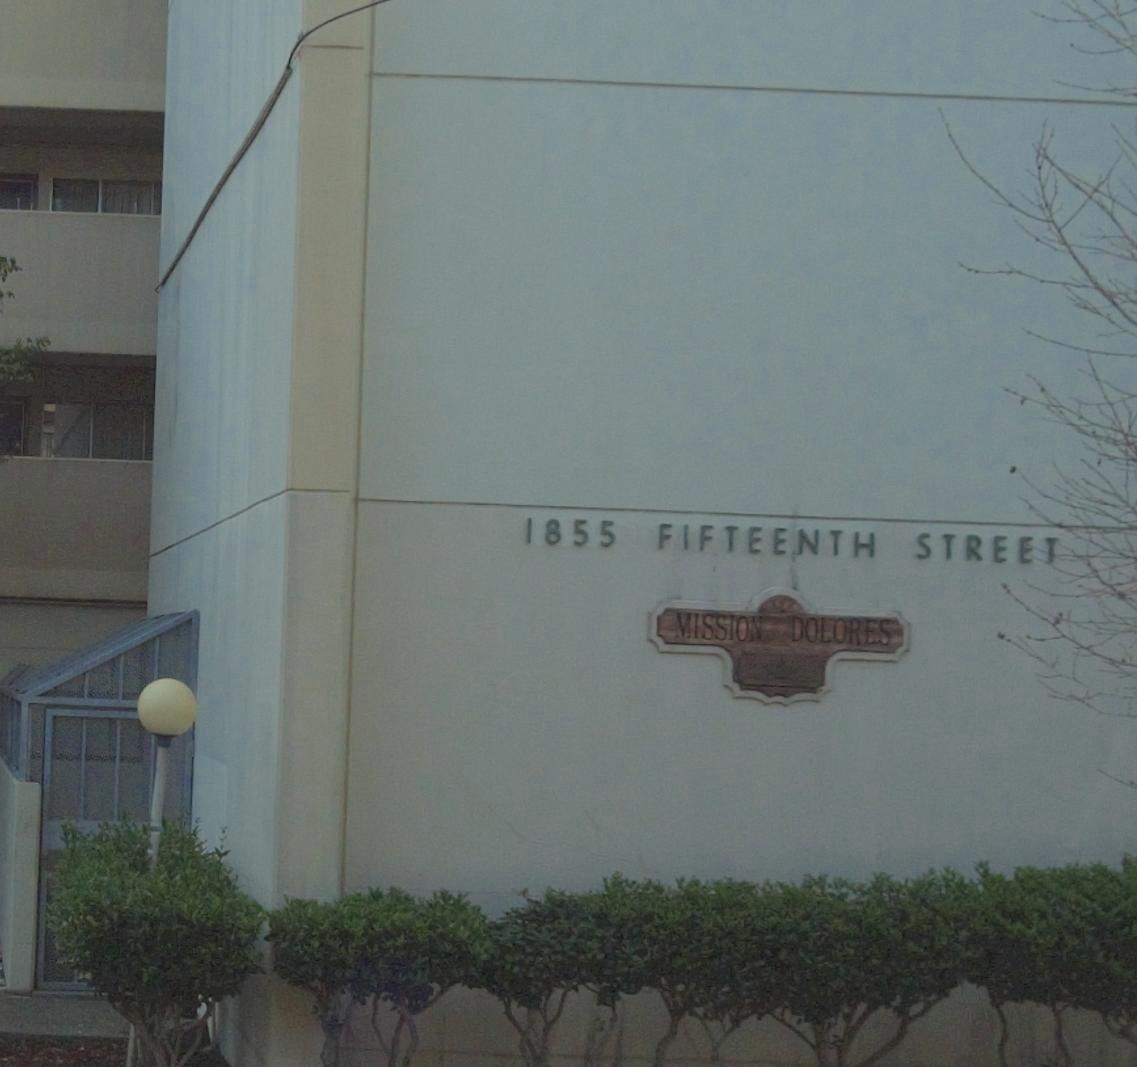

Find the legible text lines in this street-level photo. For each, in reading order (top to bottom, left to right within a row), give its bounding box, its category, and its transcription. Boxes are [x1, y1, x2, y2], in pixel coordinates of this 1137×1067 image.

[522, 514, 618, 552] StreetNumber: 1855
[655, 518, 1062, 568] StreetName: FIFTEENTH STREET
[671, 607, 896, 648] None: MISSION DOLORES